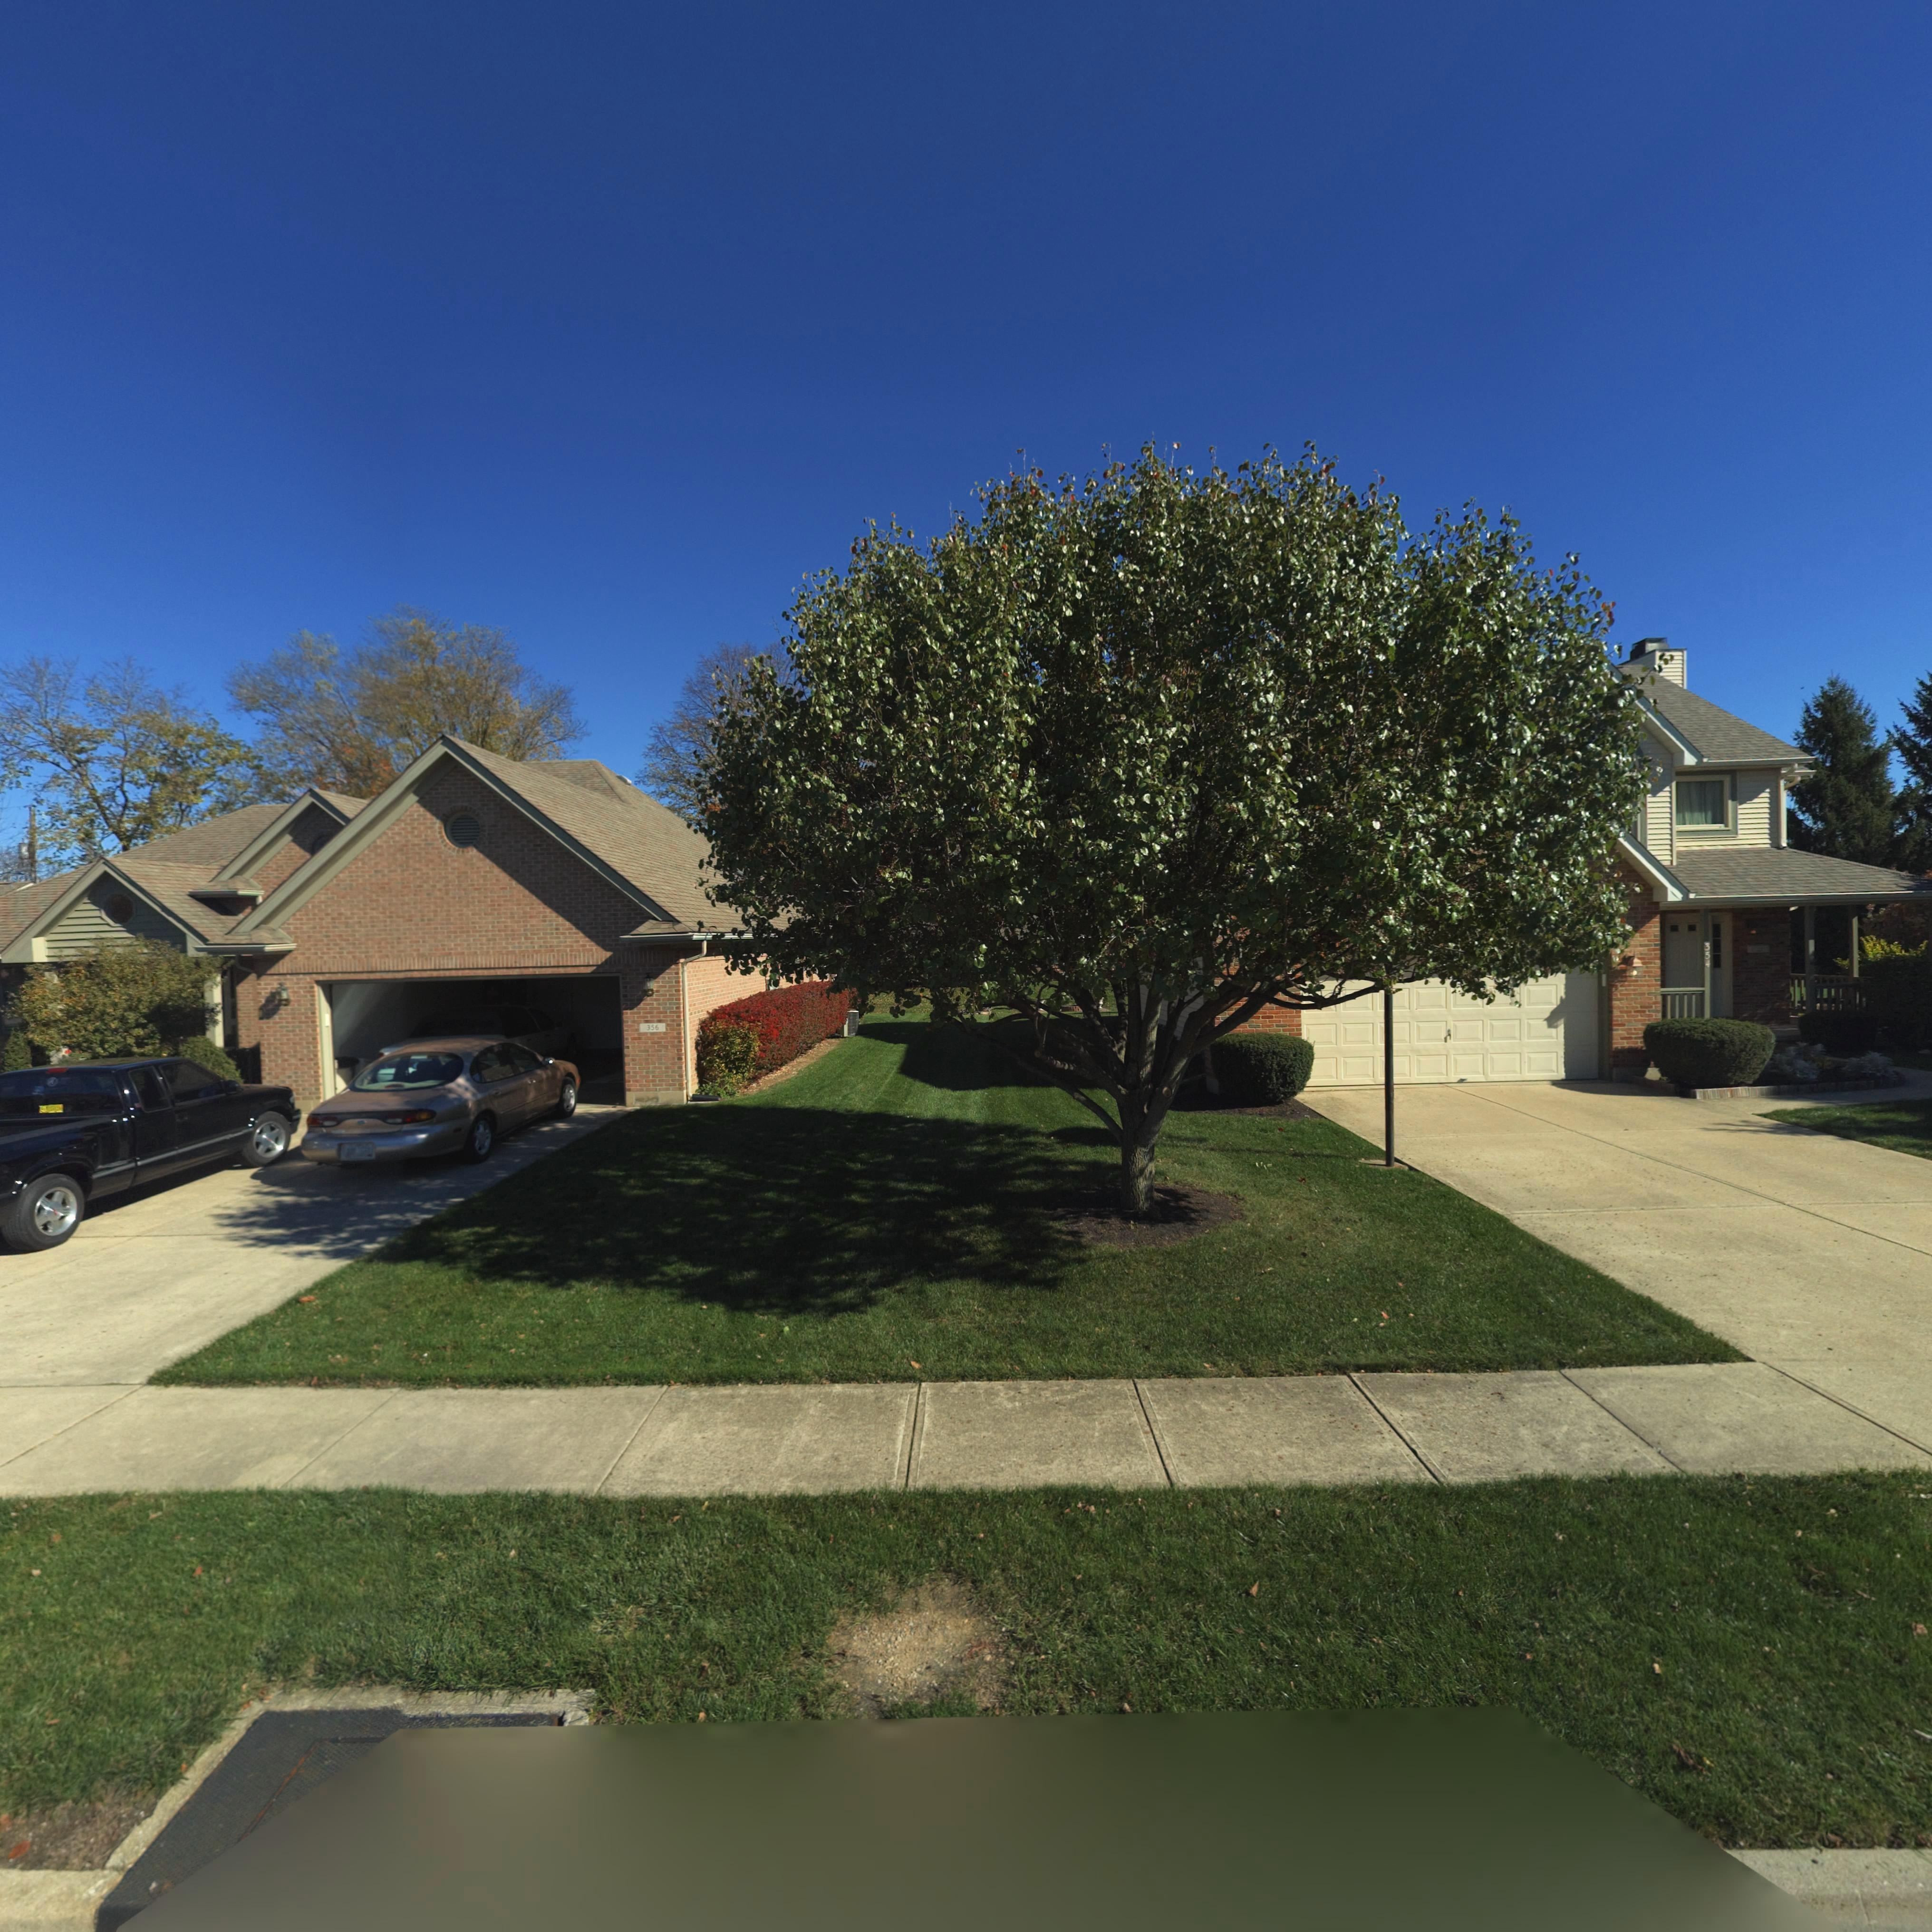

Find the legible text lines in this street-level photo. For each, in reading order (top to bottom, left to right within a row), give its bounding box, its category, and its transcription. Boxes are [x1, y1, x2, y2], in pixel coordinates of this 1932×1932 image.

[1704, 943, 1711, 969] StreetNumber: 354
[646, 1024, 660, 1032] StreetNumber: 356